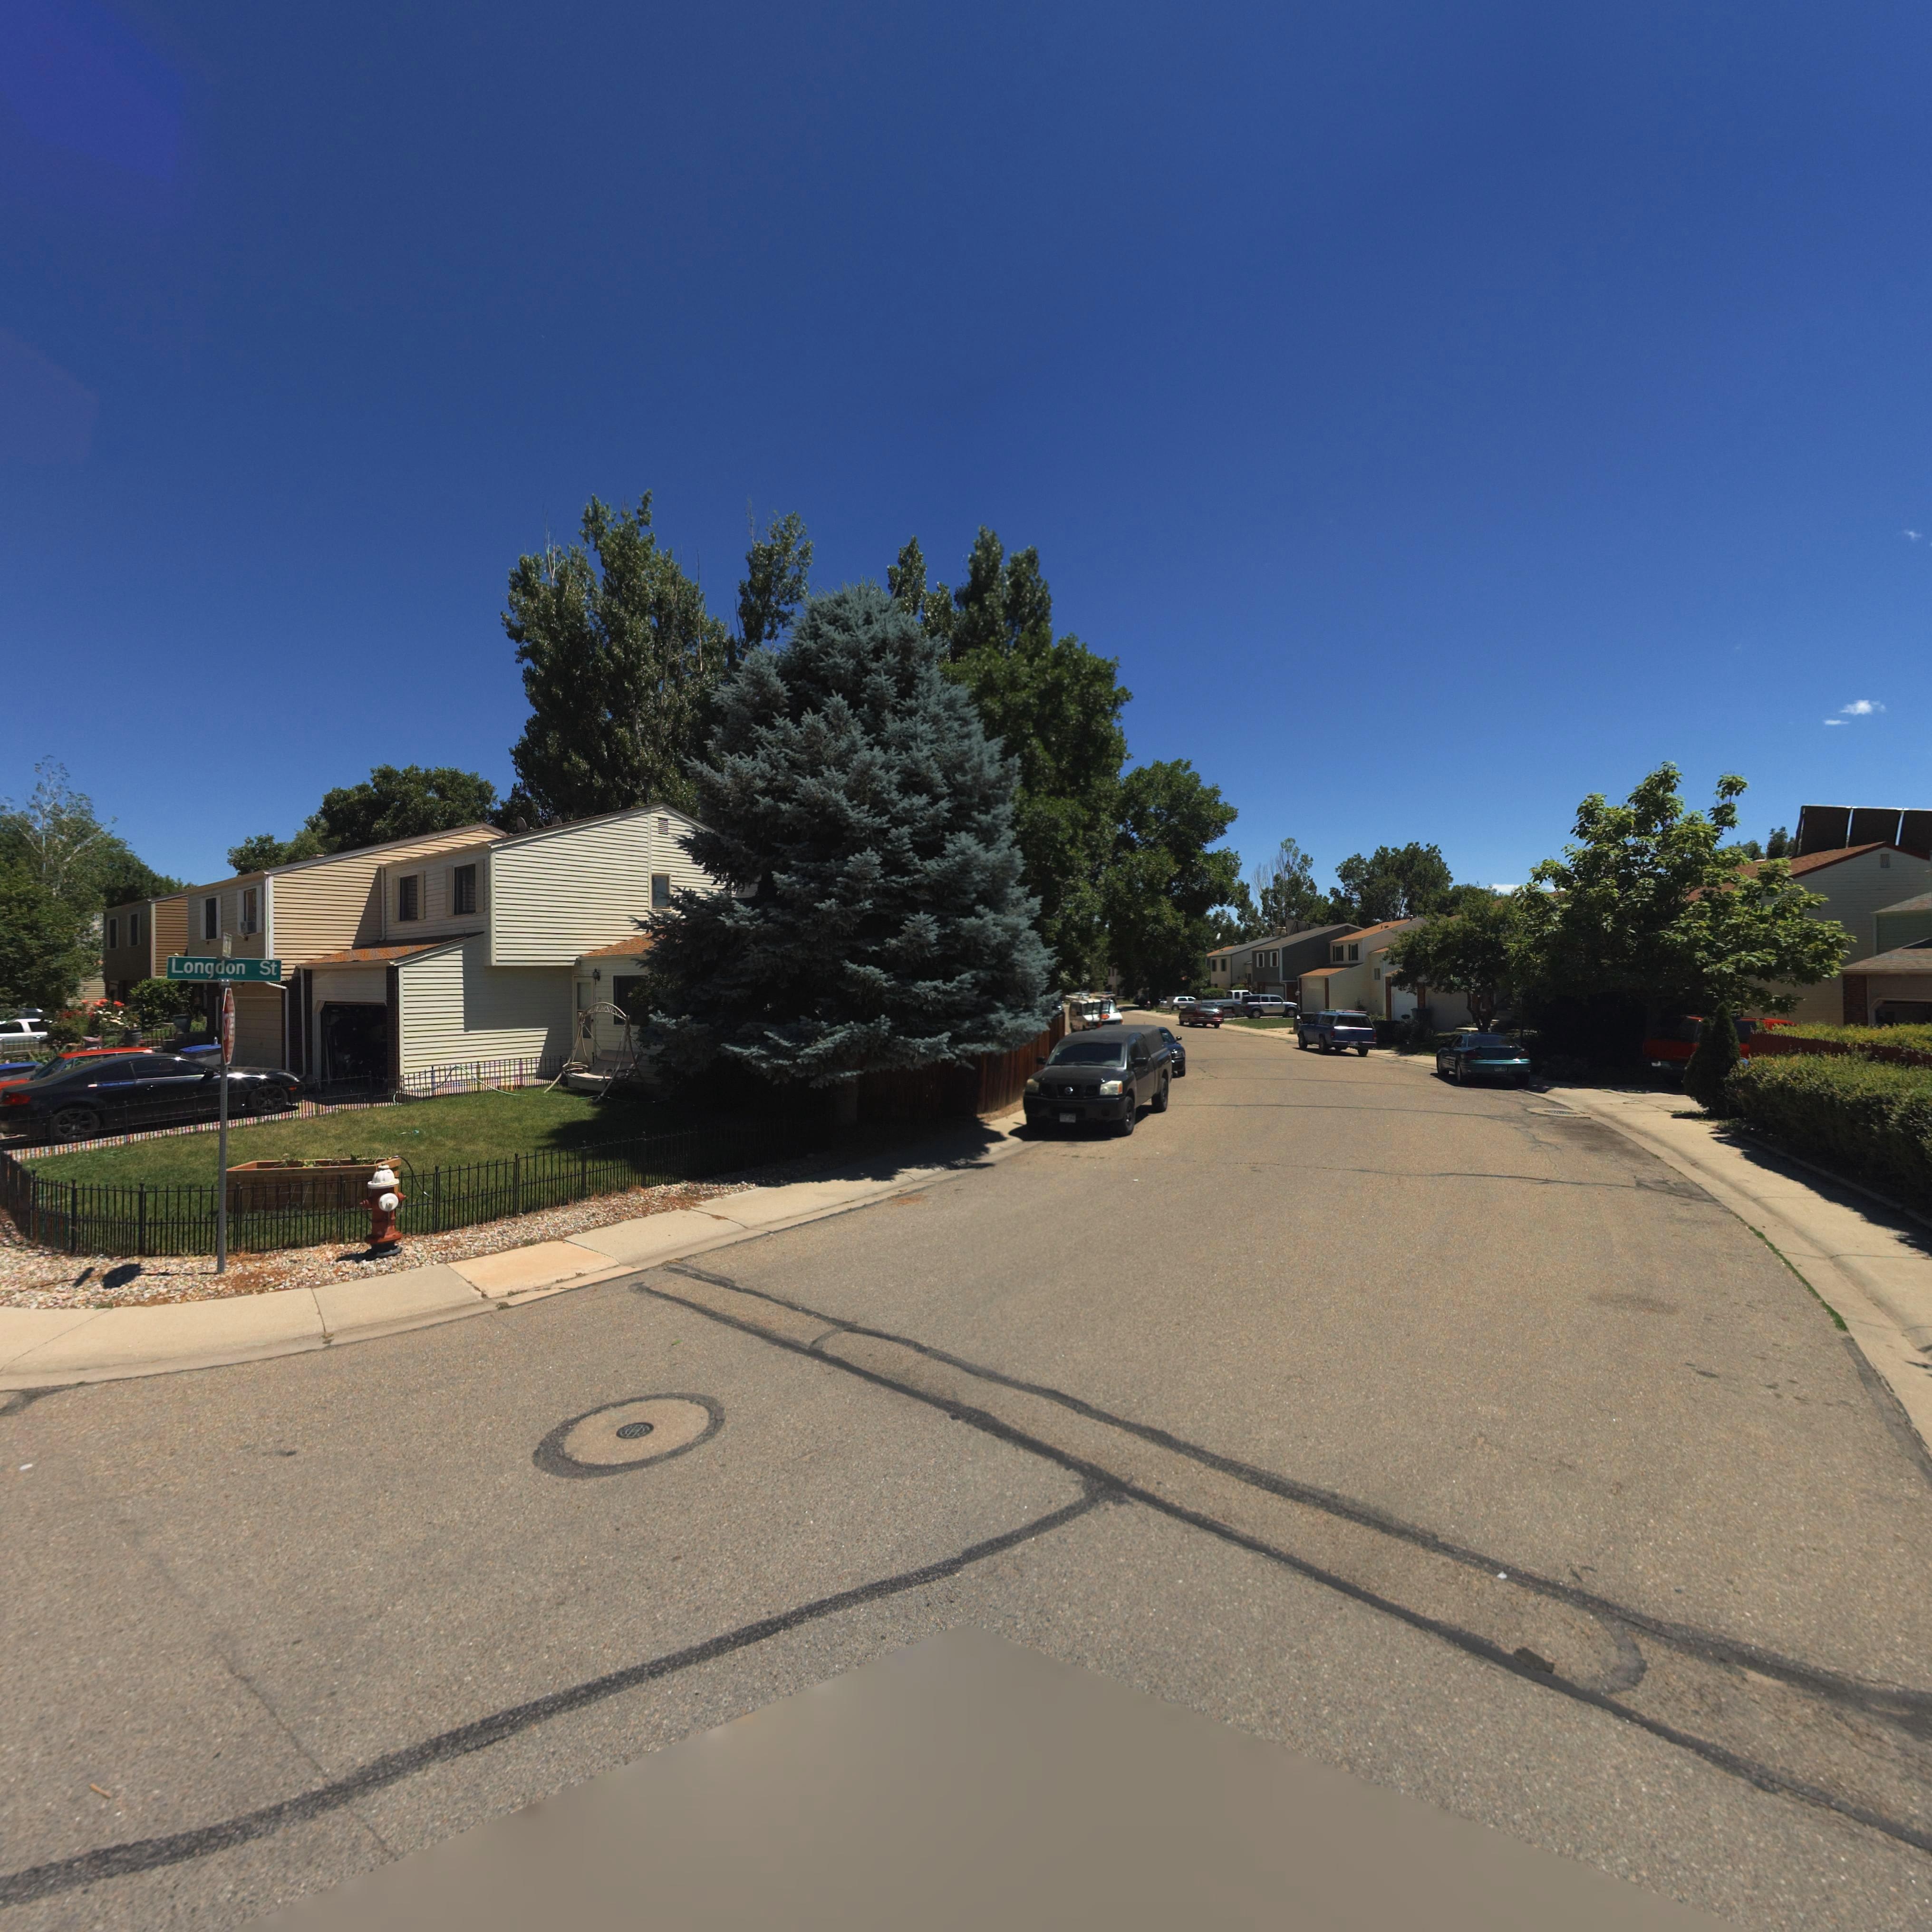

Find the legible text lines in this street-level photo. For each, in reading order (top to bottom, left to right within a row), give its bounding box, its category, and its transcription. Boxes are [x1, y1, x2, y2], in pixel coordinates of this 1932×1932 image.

[170, 957, 278, 979] StreetName: Longdon St
[597, 997, 602, 1002] StreetNumber: 3*